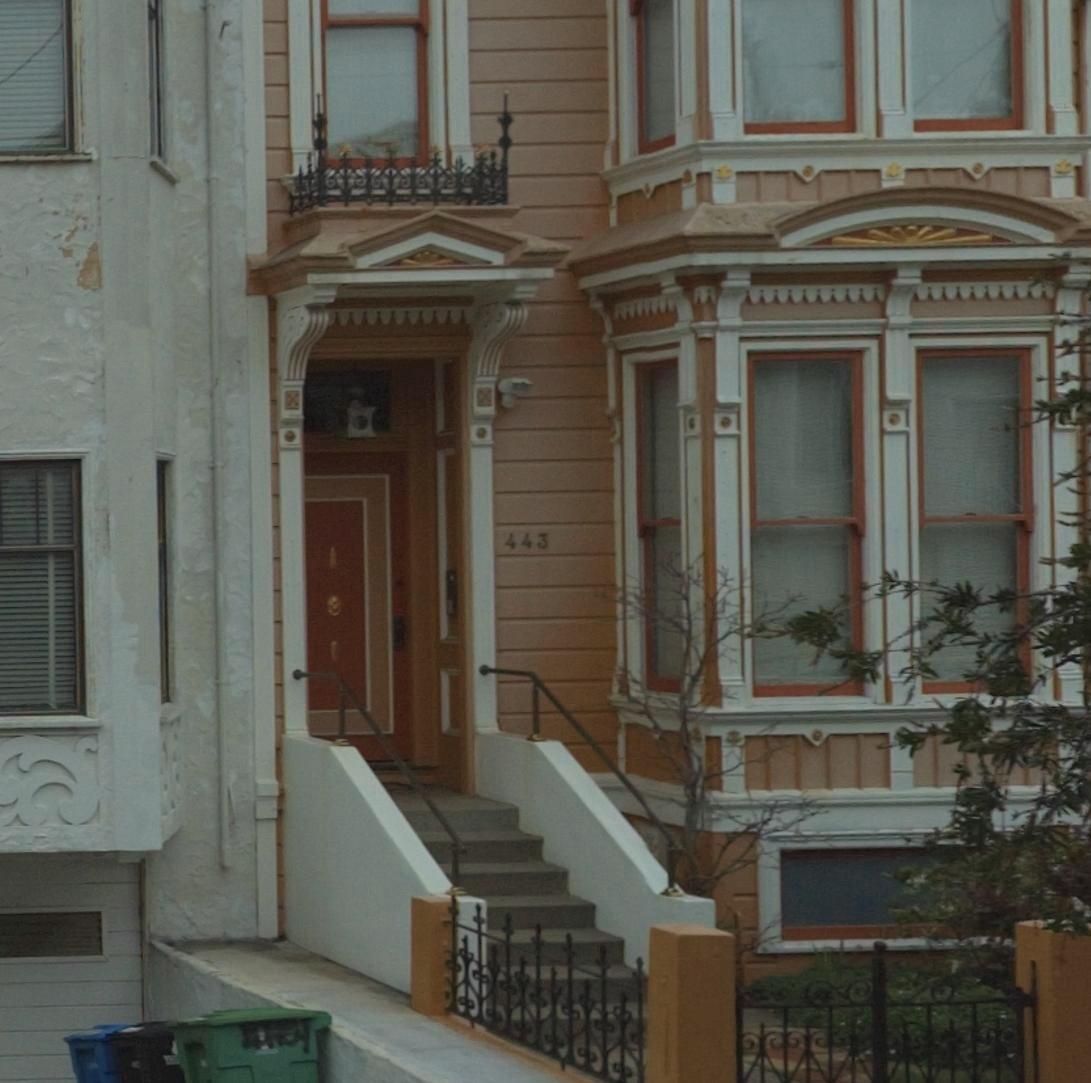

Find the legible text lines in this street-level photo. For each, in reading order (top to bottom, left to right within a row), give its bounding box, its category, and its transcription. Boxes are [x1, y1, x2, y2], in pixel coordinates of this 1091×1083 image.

[502, 531, 550, 551] StreetNumber: 443